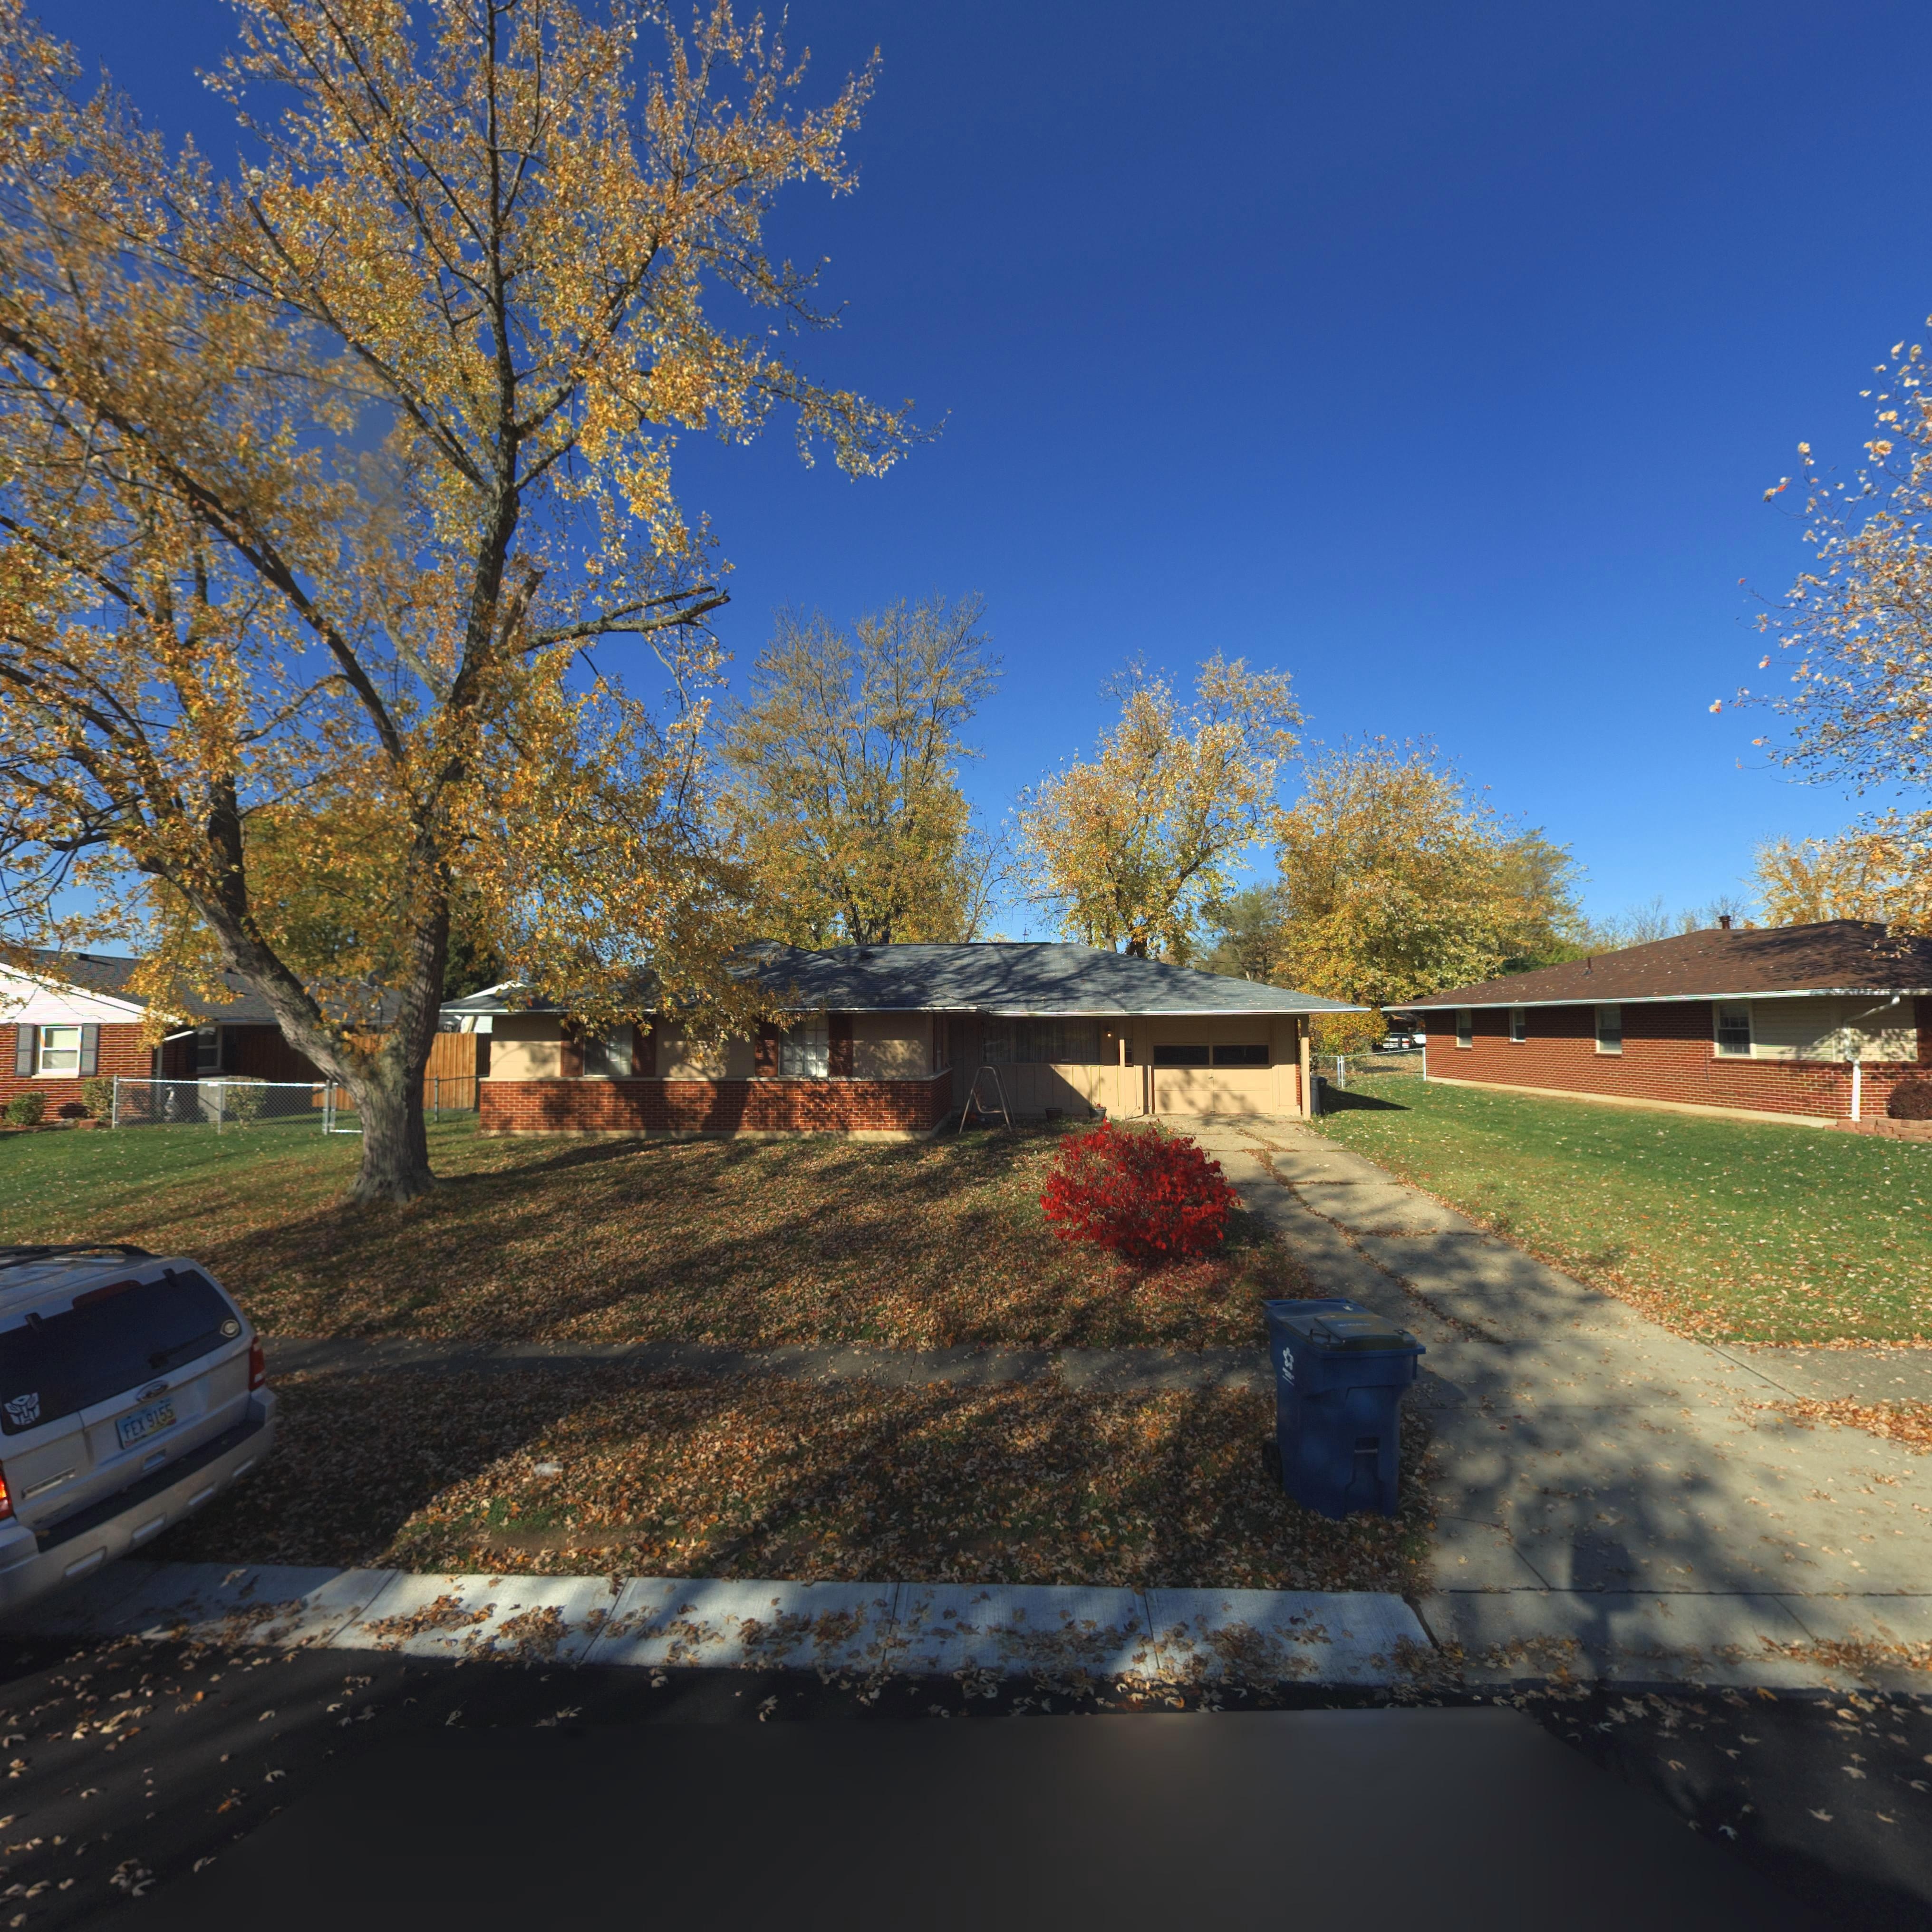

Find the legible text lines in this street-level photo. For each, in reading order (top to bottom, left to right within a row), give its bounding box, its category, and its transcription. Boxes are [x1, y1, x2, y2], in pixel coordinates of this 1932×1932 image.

[1124, 1037, 1133, 1046] StreetNumber: 07